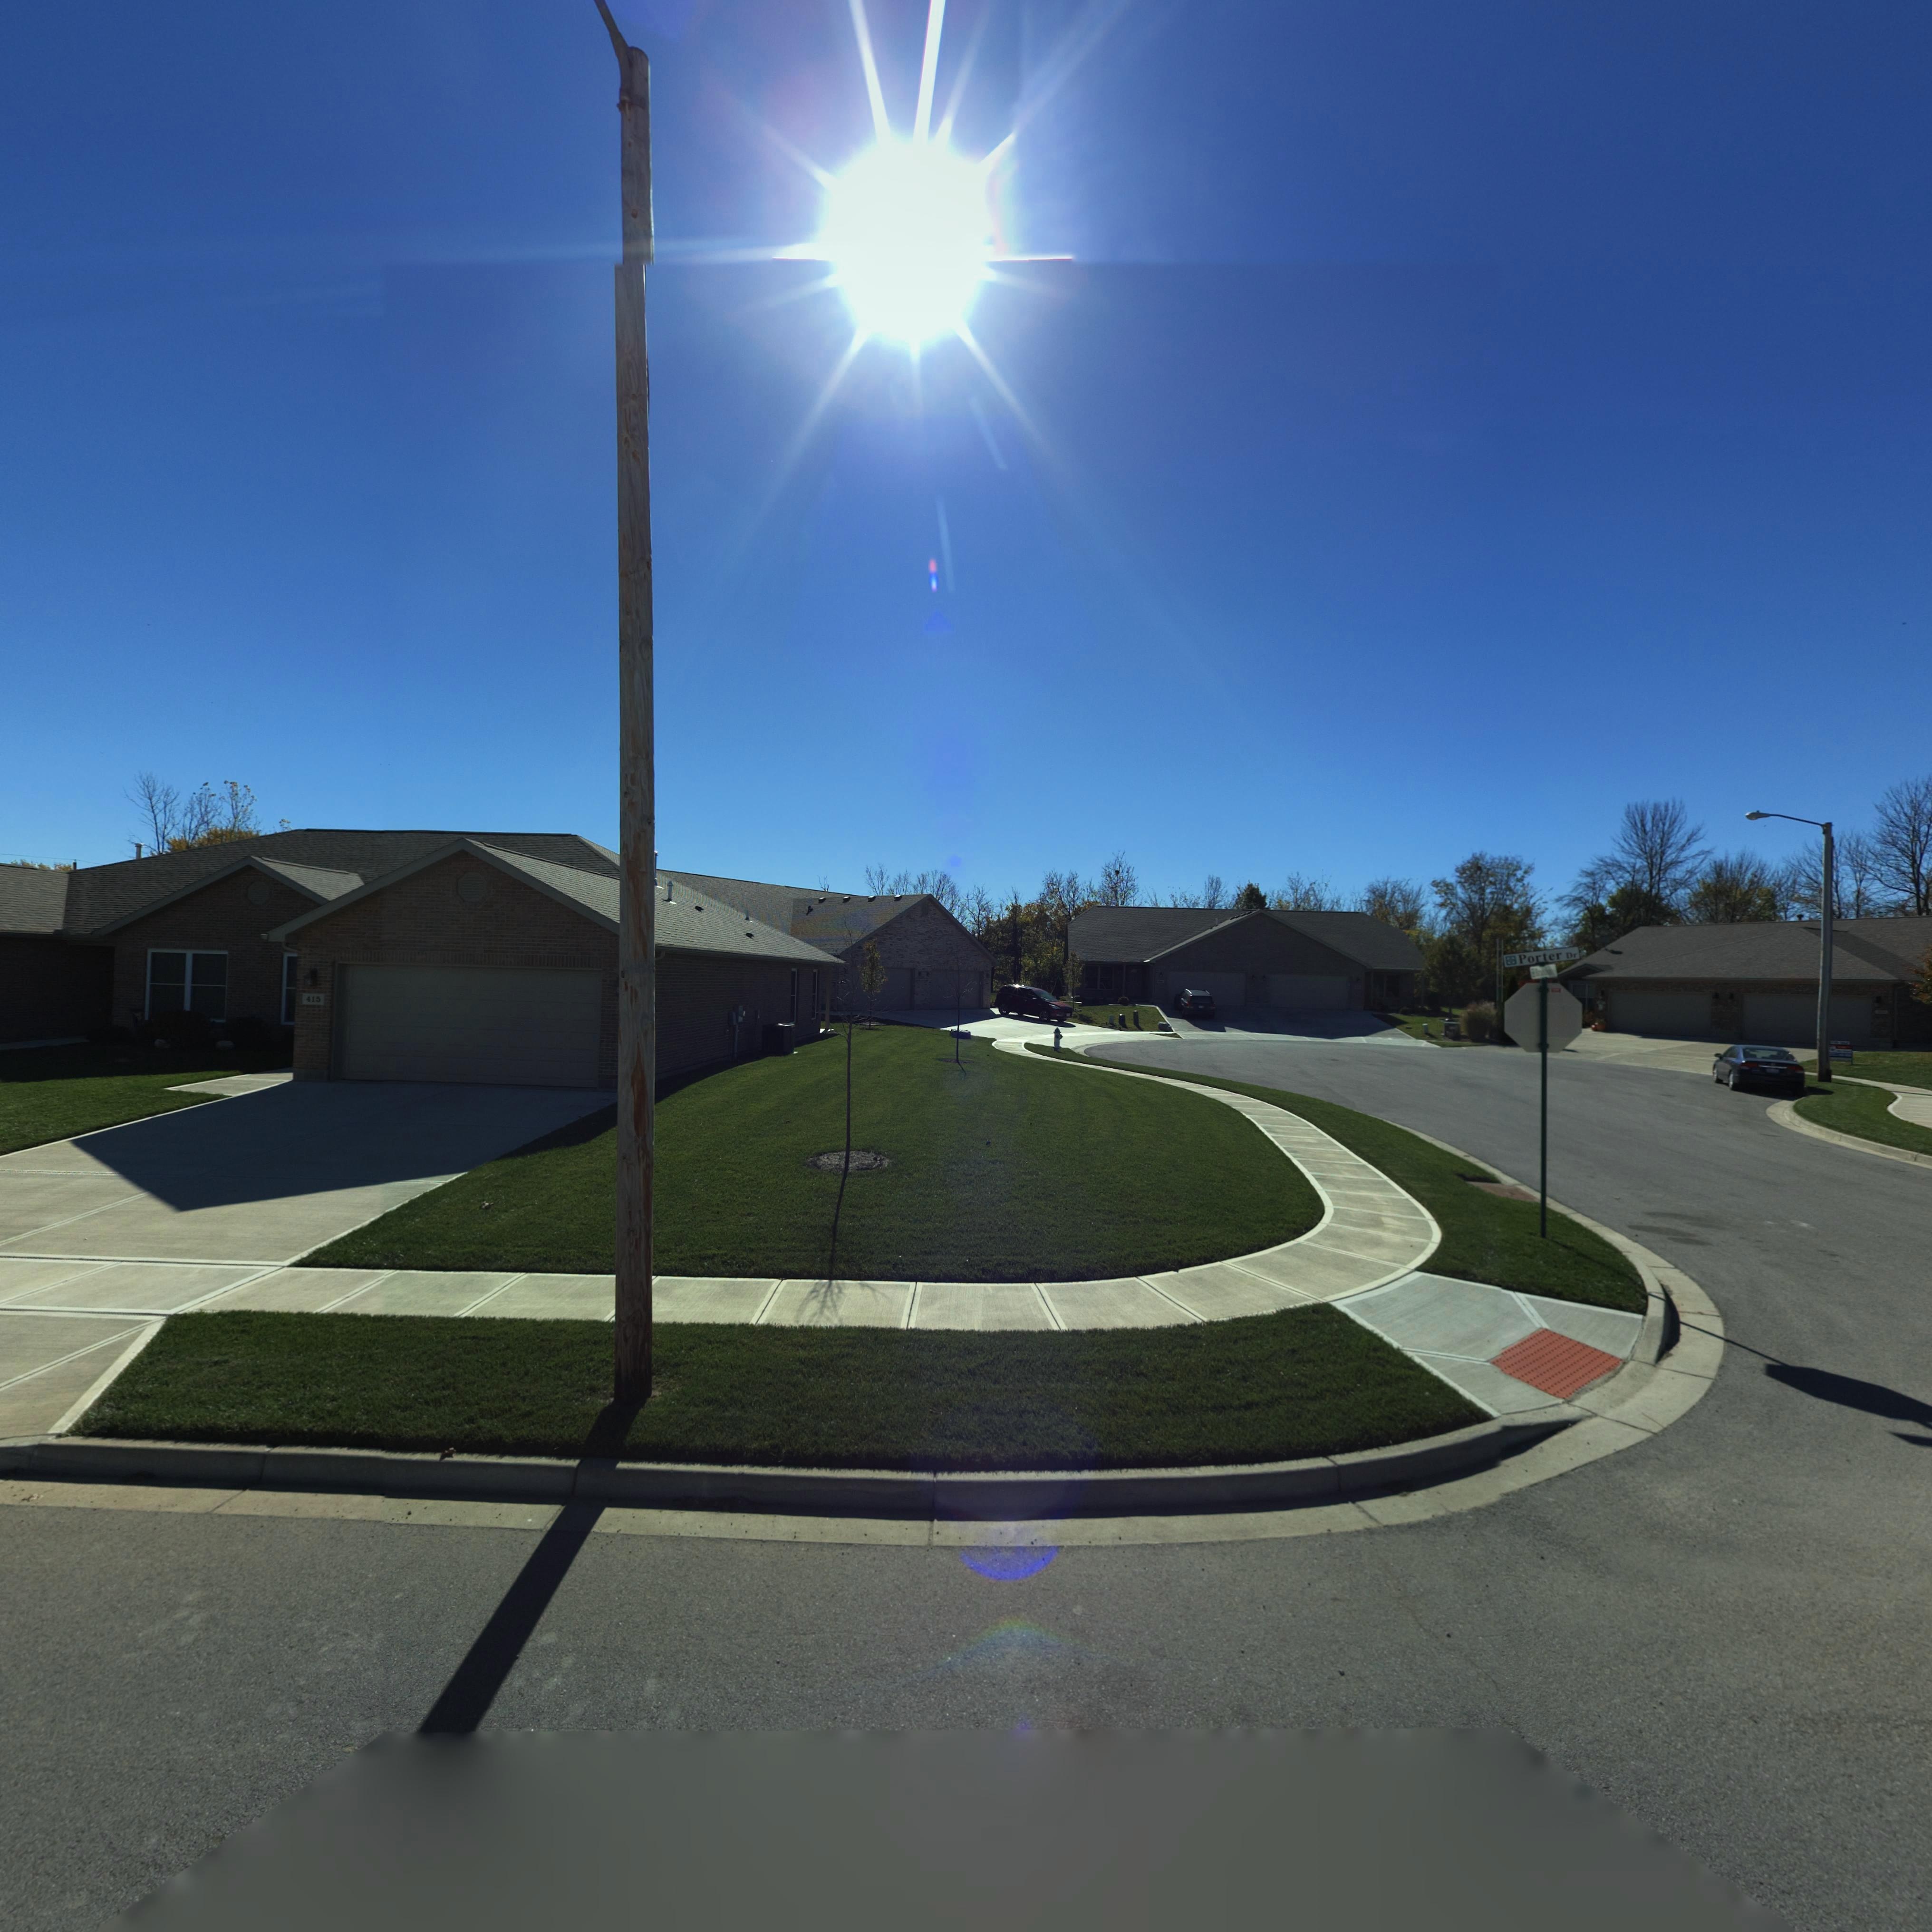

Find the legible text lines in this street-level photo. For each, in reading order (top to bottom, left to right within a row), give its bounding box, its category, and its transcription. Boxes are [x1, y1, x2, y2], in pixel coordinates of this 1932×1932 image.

[305, 995, 322, 1003] StreetNumber: 415